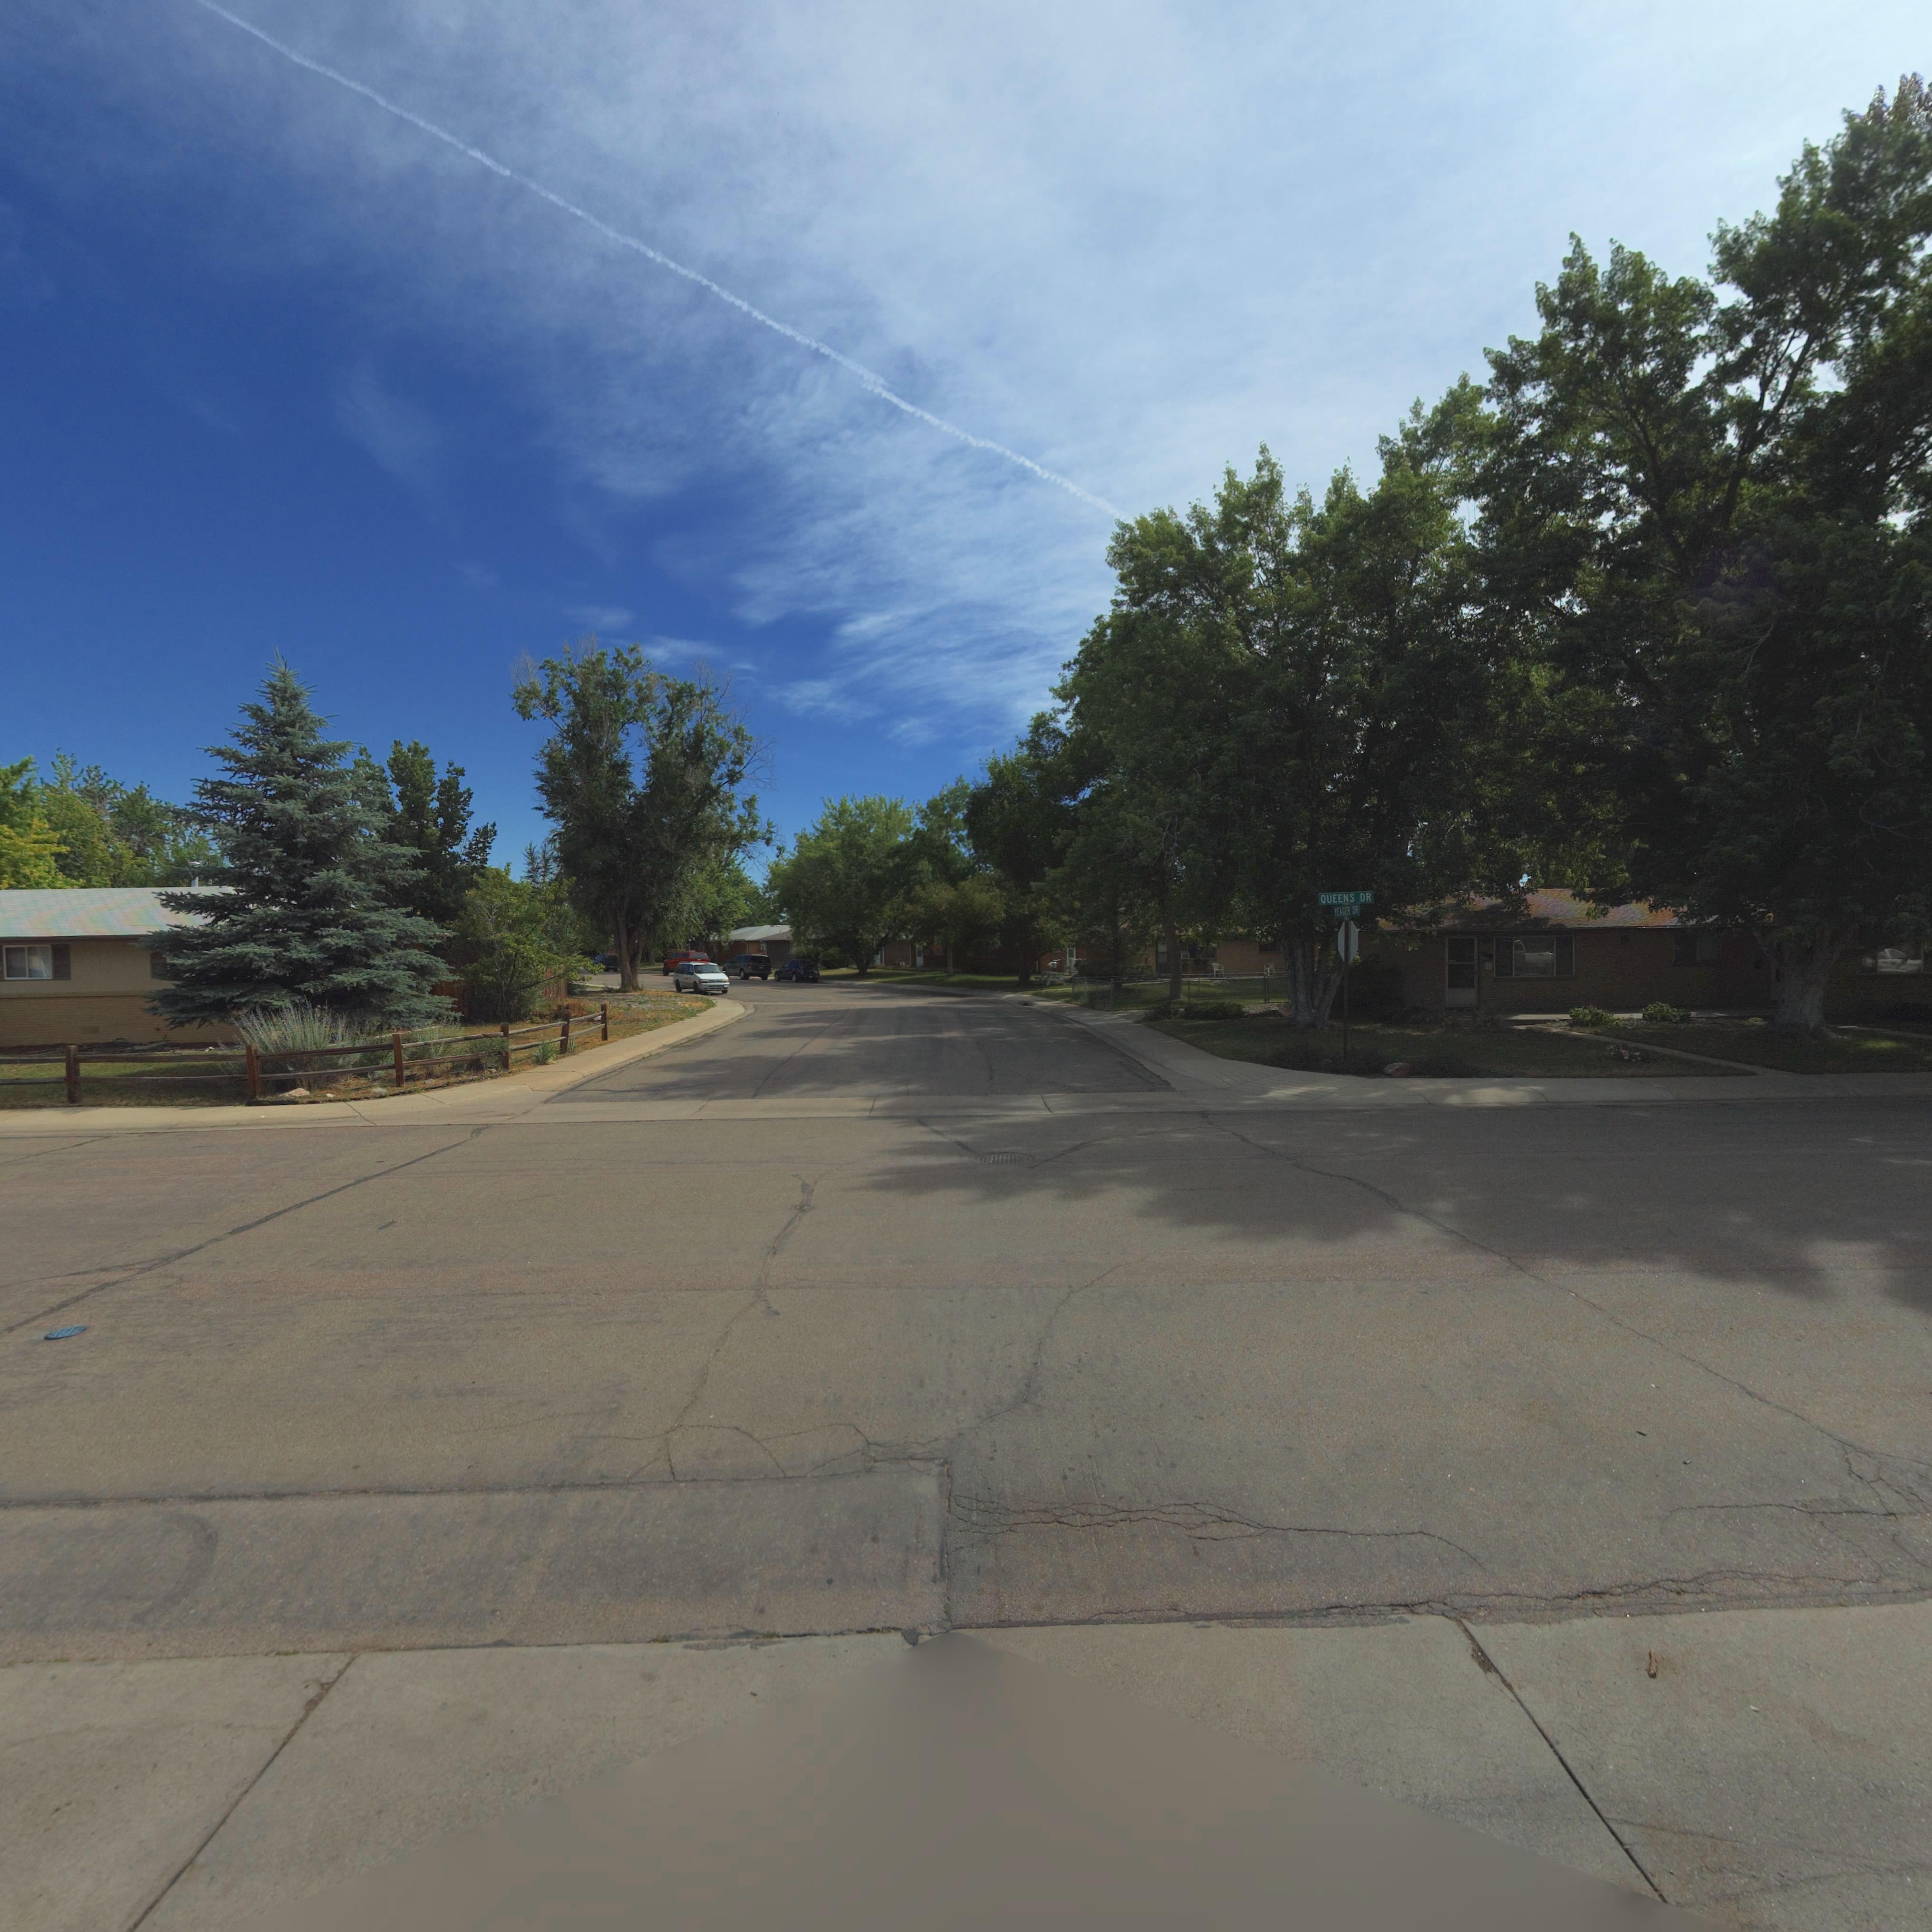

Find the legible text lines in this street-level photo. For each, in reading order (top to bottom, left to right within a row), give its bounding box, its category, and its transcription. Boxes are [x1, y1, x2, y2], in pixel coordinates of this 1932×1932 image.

[1320, 892, 1371, 904] StreetName: QUEENS DR
[1333, 905, 1359, 917] StreetName: YEAGER DR